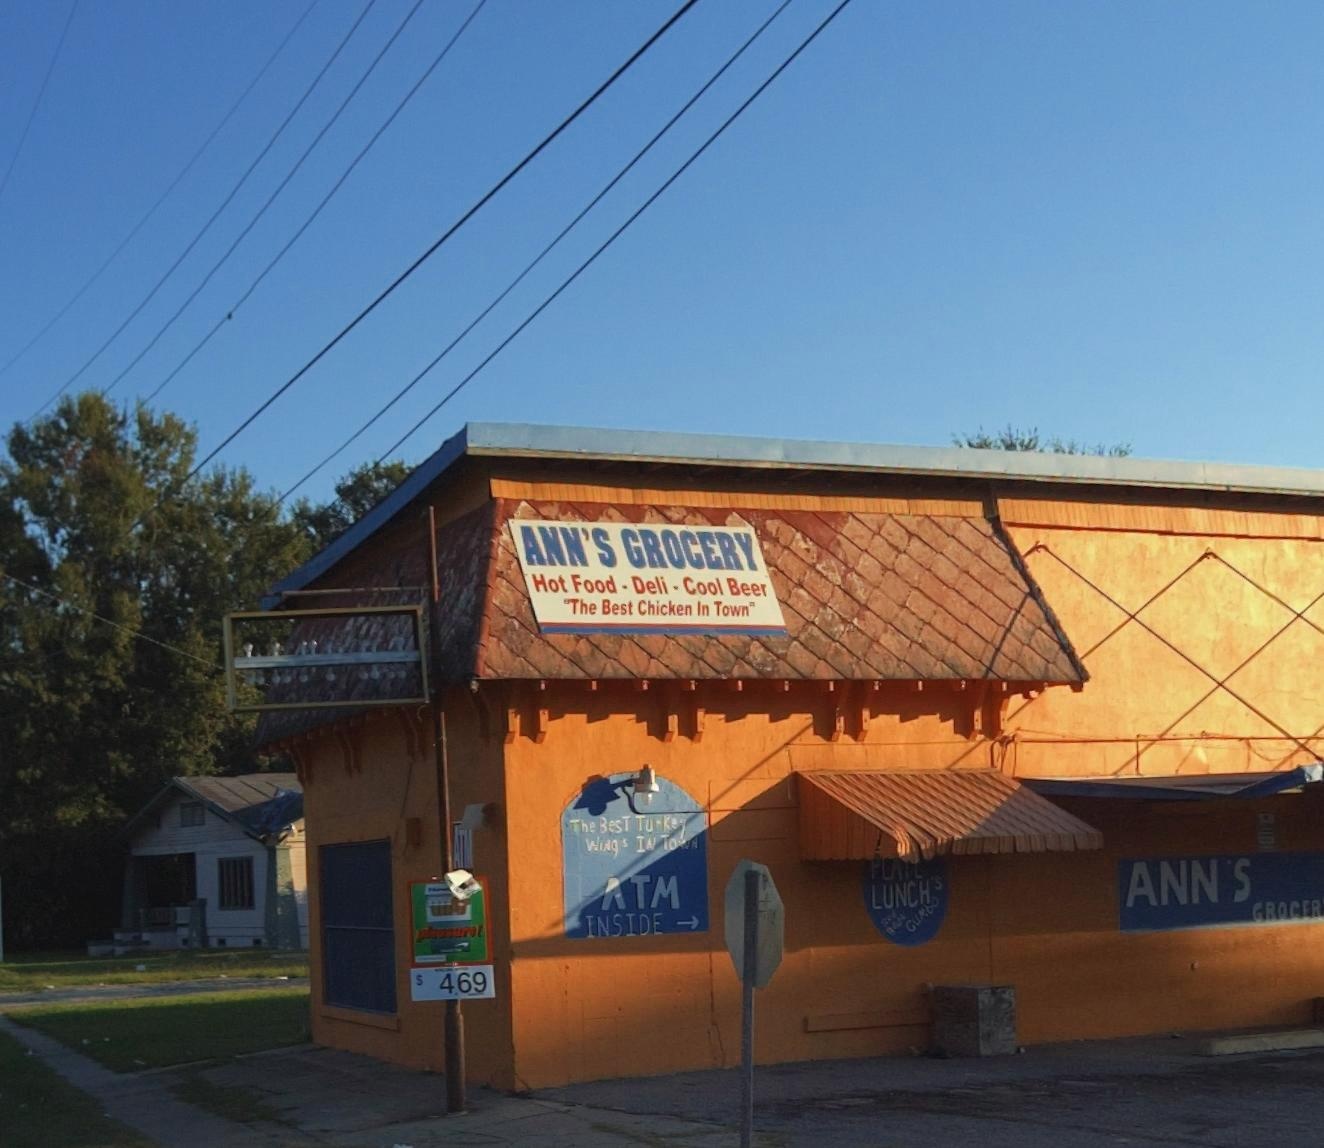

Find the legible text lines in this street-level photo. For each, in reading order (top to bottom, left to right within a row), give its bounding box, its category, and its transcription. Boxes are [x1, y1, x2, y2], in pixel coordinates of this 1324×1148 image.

[517, 523, 761, 574] BusinessName: ANN'S GROCERY
[527, 570, 774, 599] None: Hot Food*Deli*Cool Beer
[565, 596, 752, 619] None: The Best Chicken In Town
[567, 813, 688, 841] None: The BesT Turkey
[581, 832, 702, 865] None: Wing's In Town
[595, 871, 684, 913] None: ATM
[869, 873, 944, 911] None: LUNCH's
[1119, 855, 1254, 911] BusinessName: ANN'S
[413, 921, 487, 947] None: pleasure!
[583, 910, 668, 940] None: INSIDE
[1248, 896, 1322, 925] BusinessName: GROCER
[436, 969, 489, 996] None: 4.69